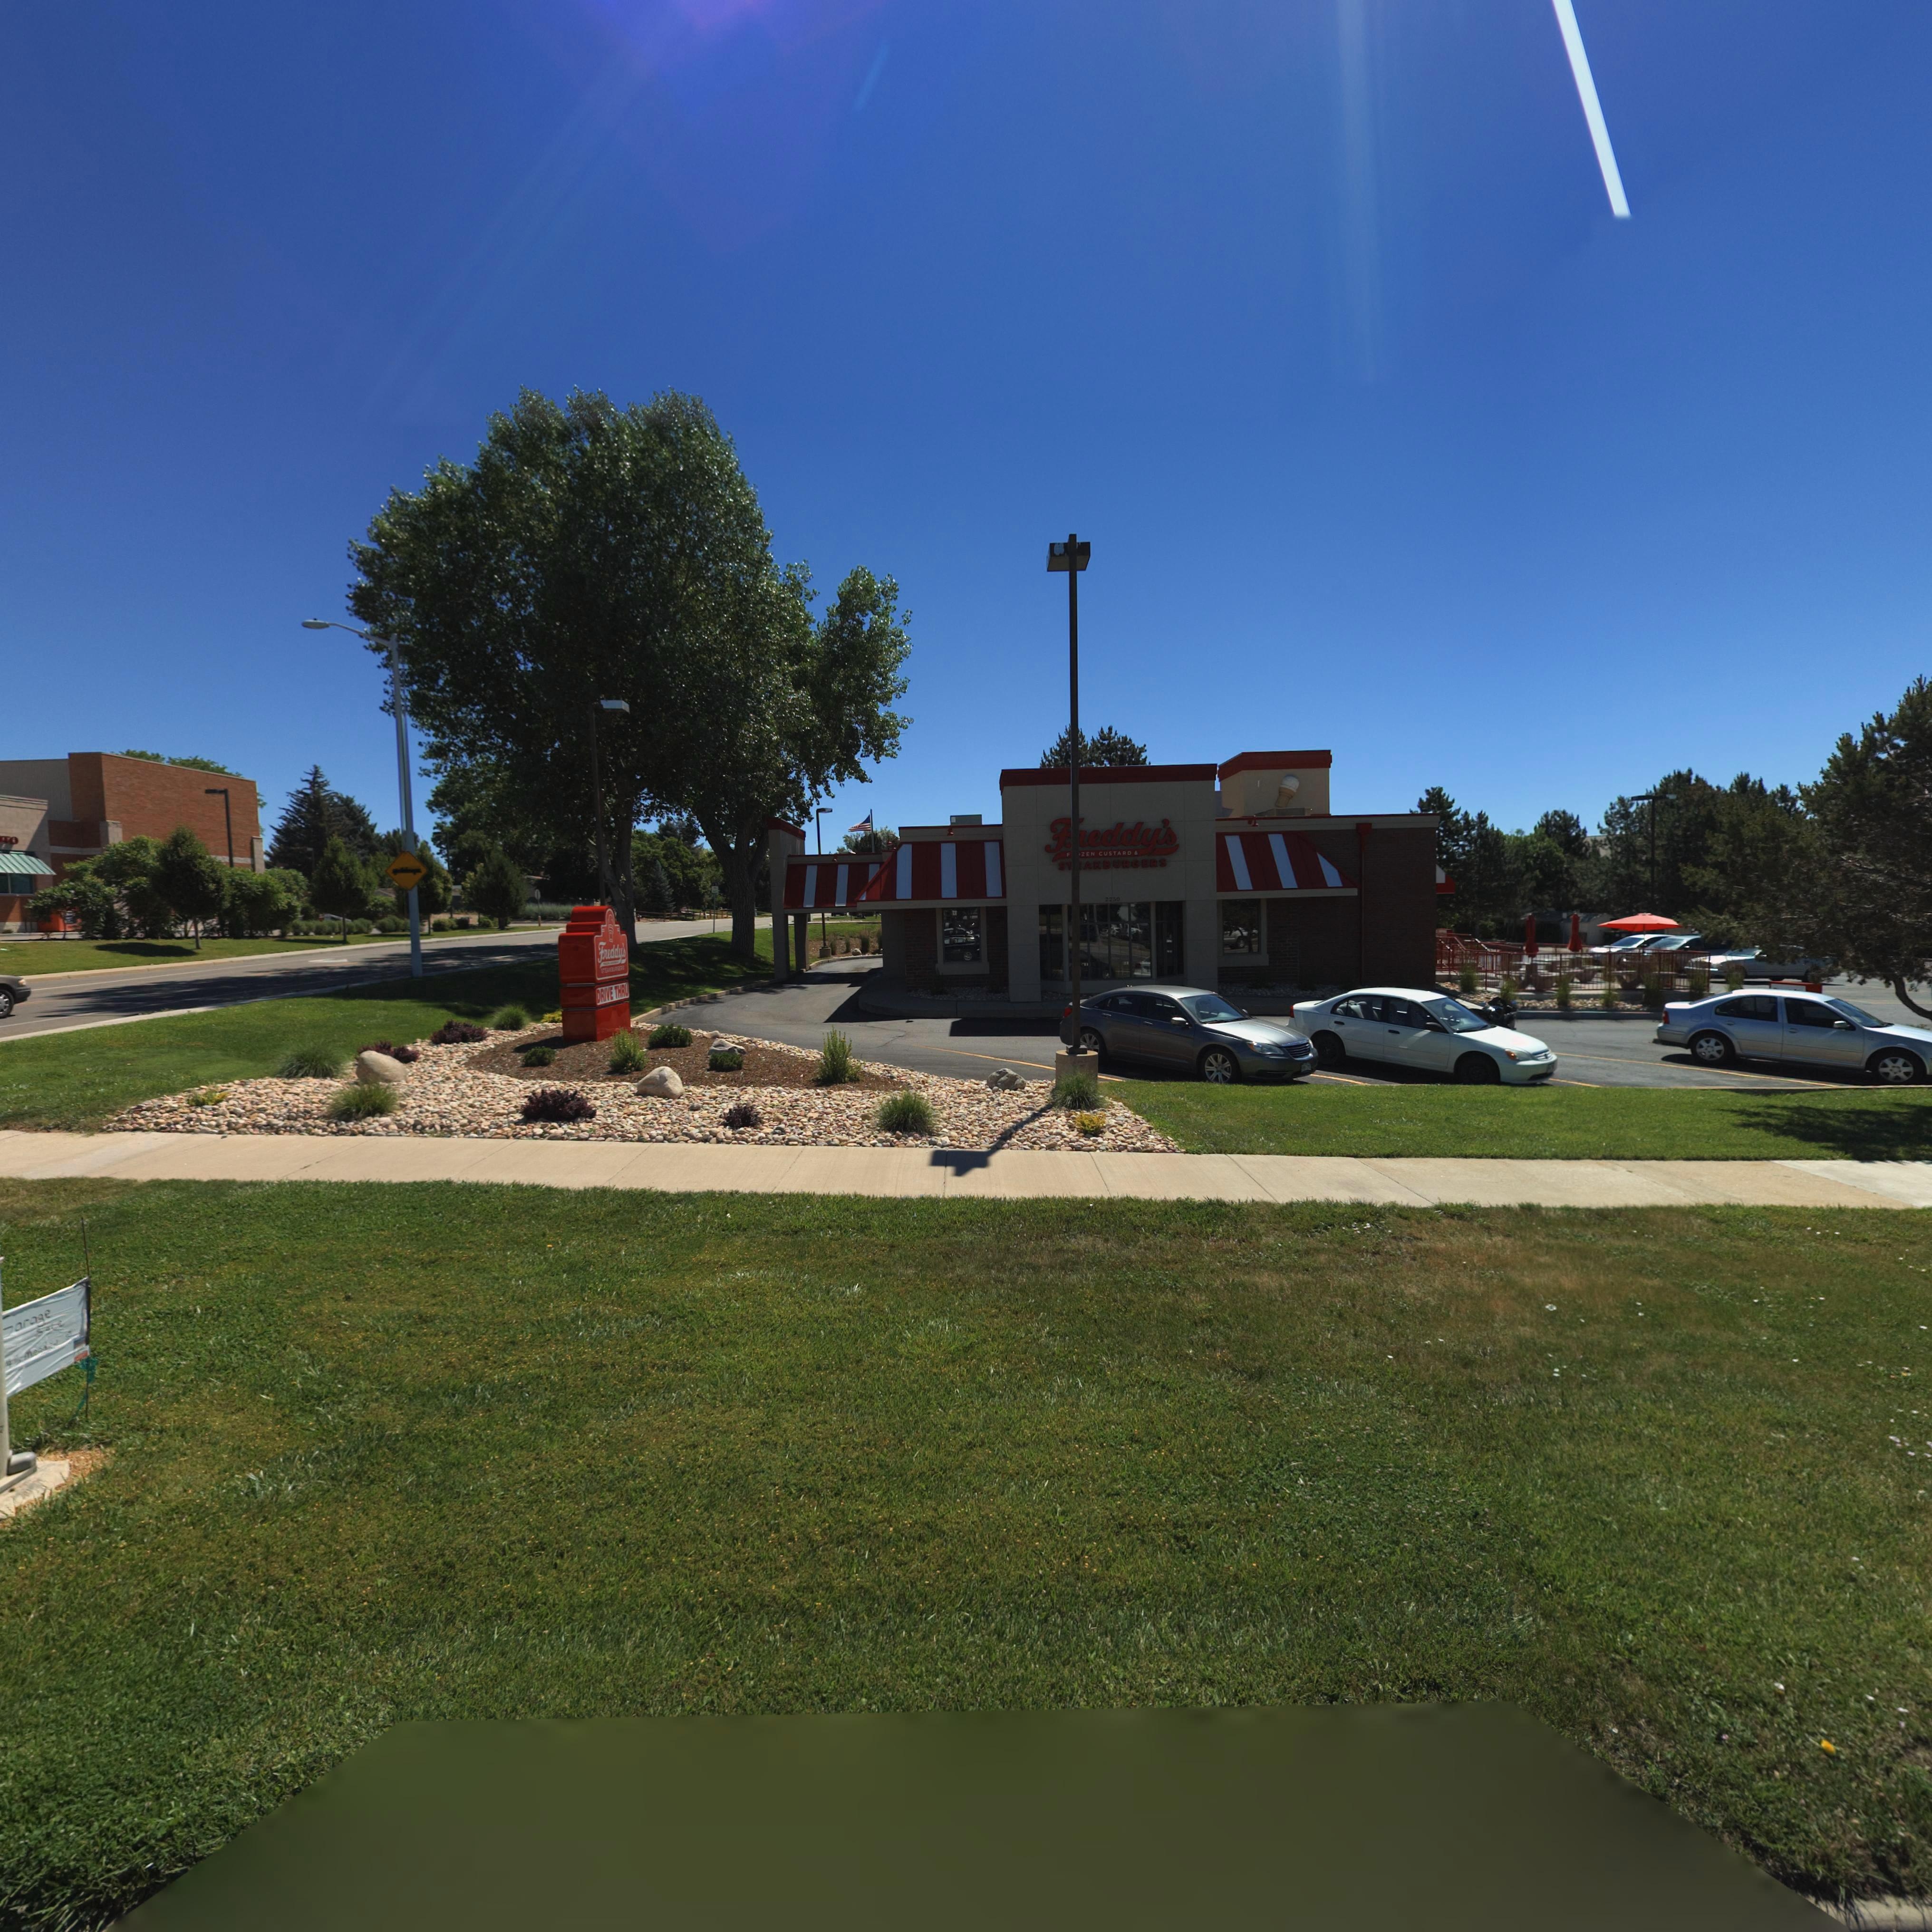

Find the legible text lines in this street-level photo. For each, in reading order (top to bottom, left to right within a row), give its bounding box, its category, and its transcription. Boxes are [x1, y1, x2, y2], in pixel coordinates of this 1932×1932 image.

[1043, 816, 1178, 857] BusinessName: F*eddy's
[1066, 850, 1138, 857] BusinessName: F**ZEN CUSTARD &
[1058, 857, 1167, 871] BusinessName: ST*AKBURGERS
[1104, 897, 1120, 902] StreetNumber: 2250
[597, 941, 626, 964] BusinessName: Freddy's
[600, 965, 625, 974] BusinessName: STE*********